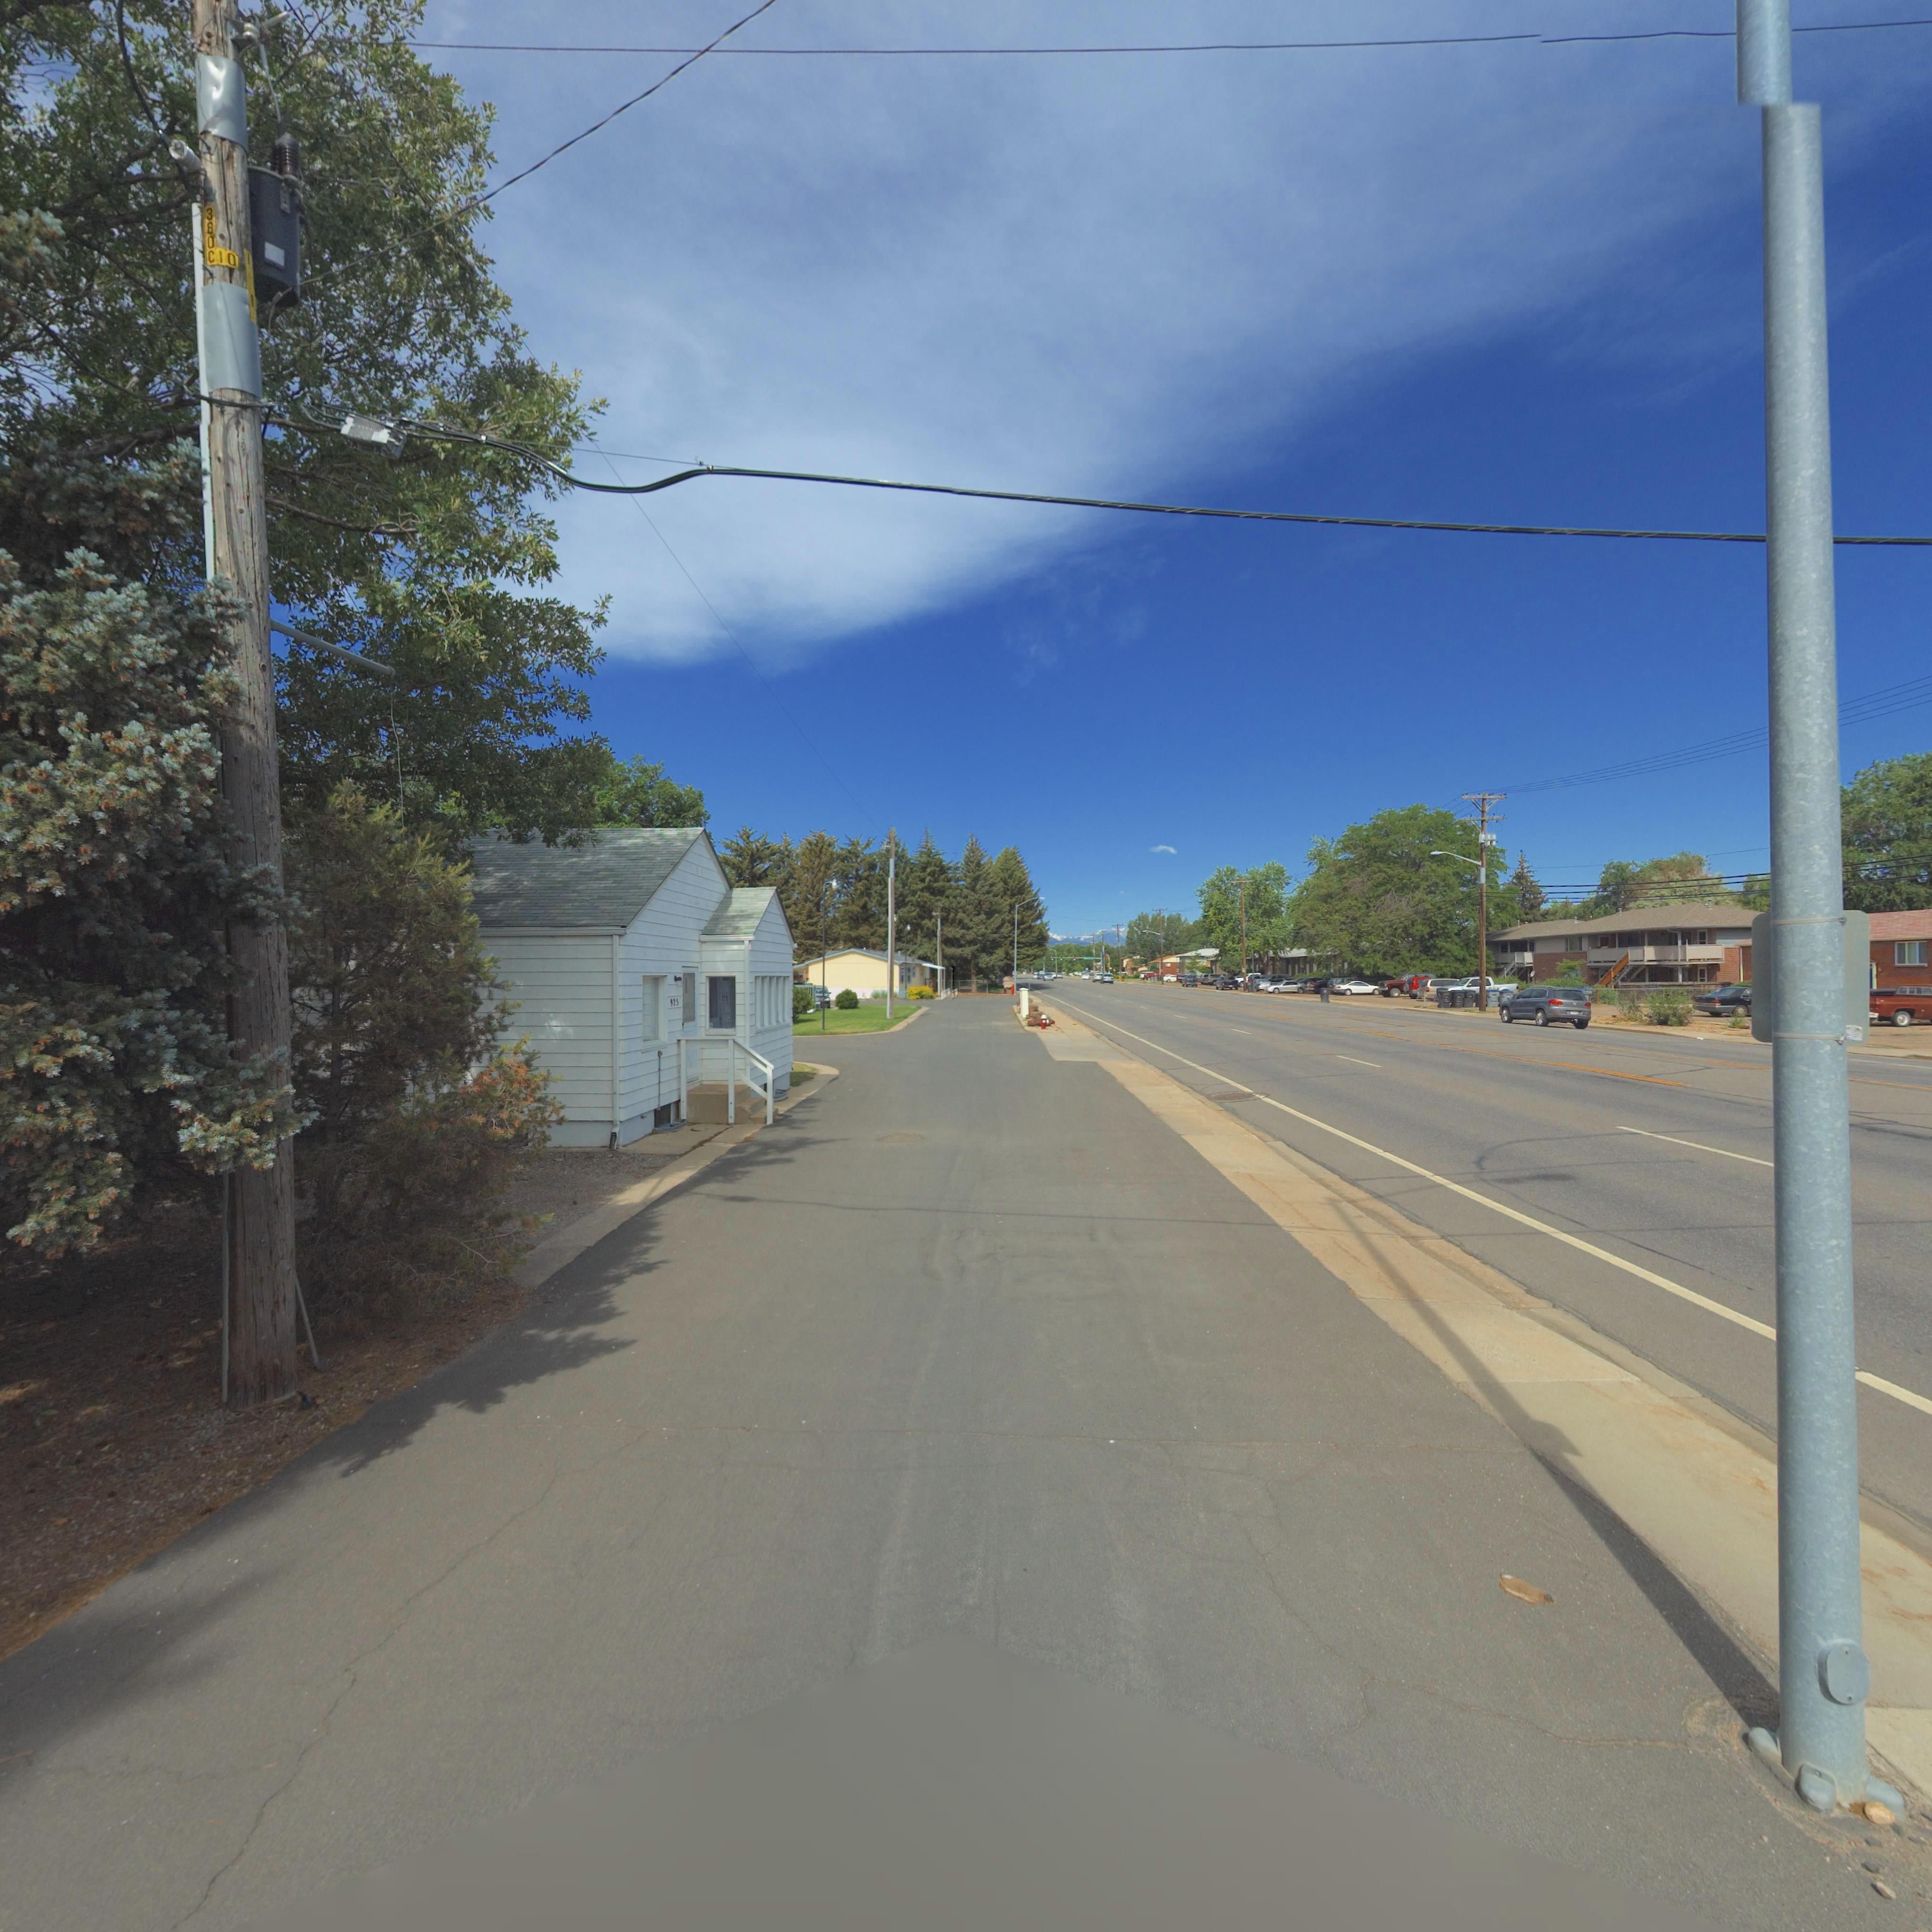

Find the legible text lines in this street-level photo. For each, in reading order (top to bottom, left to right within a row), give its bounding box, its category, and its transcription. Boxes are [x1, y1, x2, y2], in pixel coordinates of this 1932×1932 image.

[670, 998, 678, 1006] StreetNumber: 925